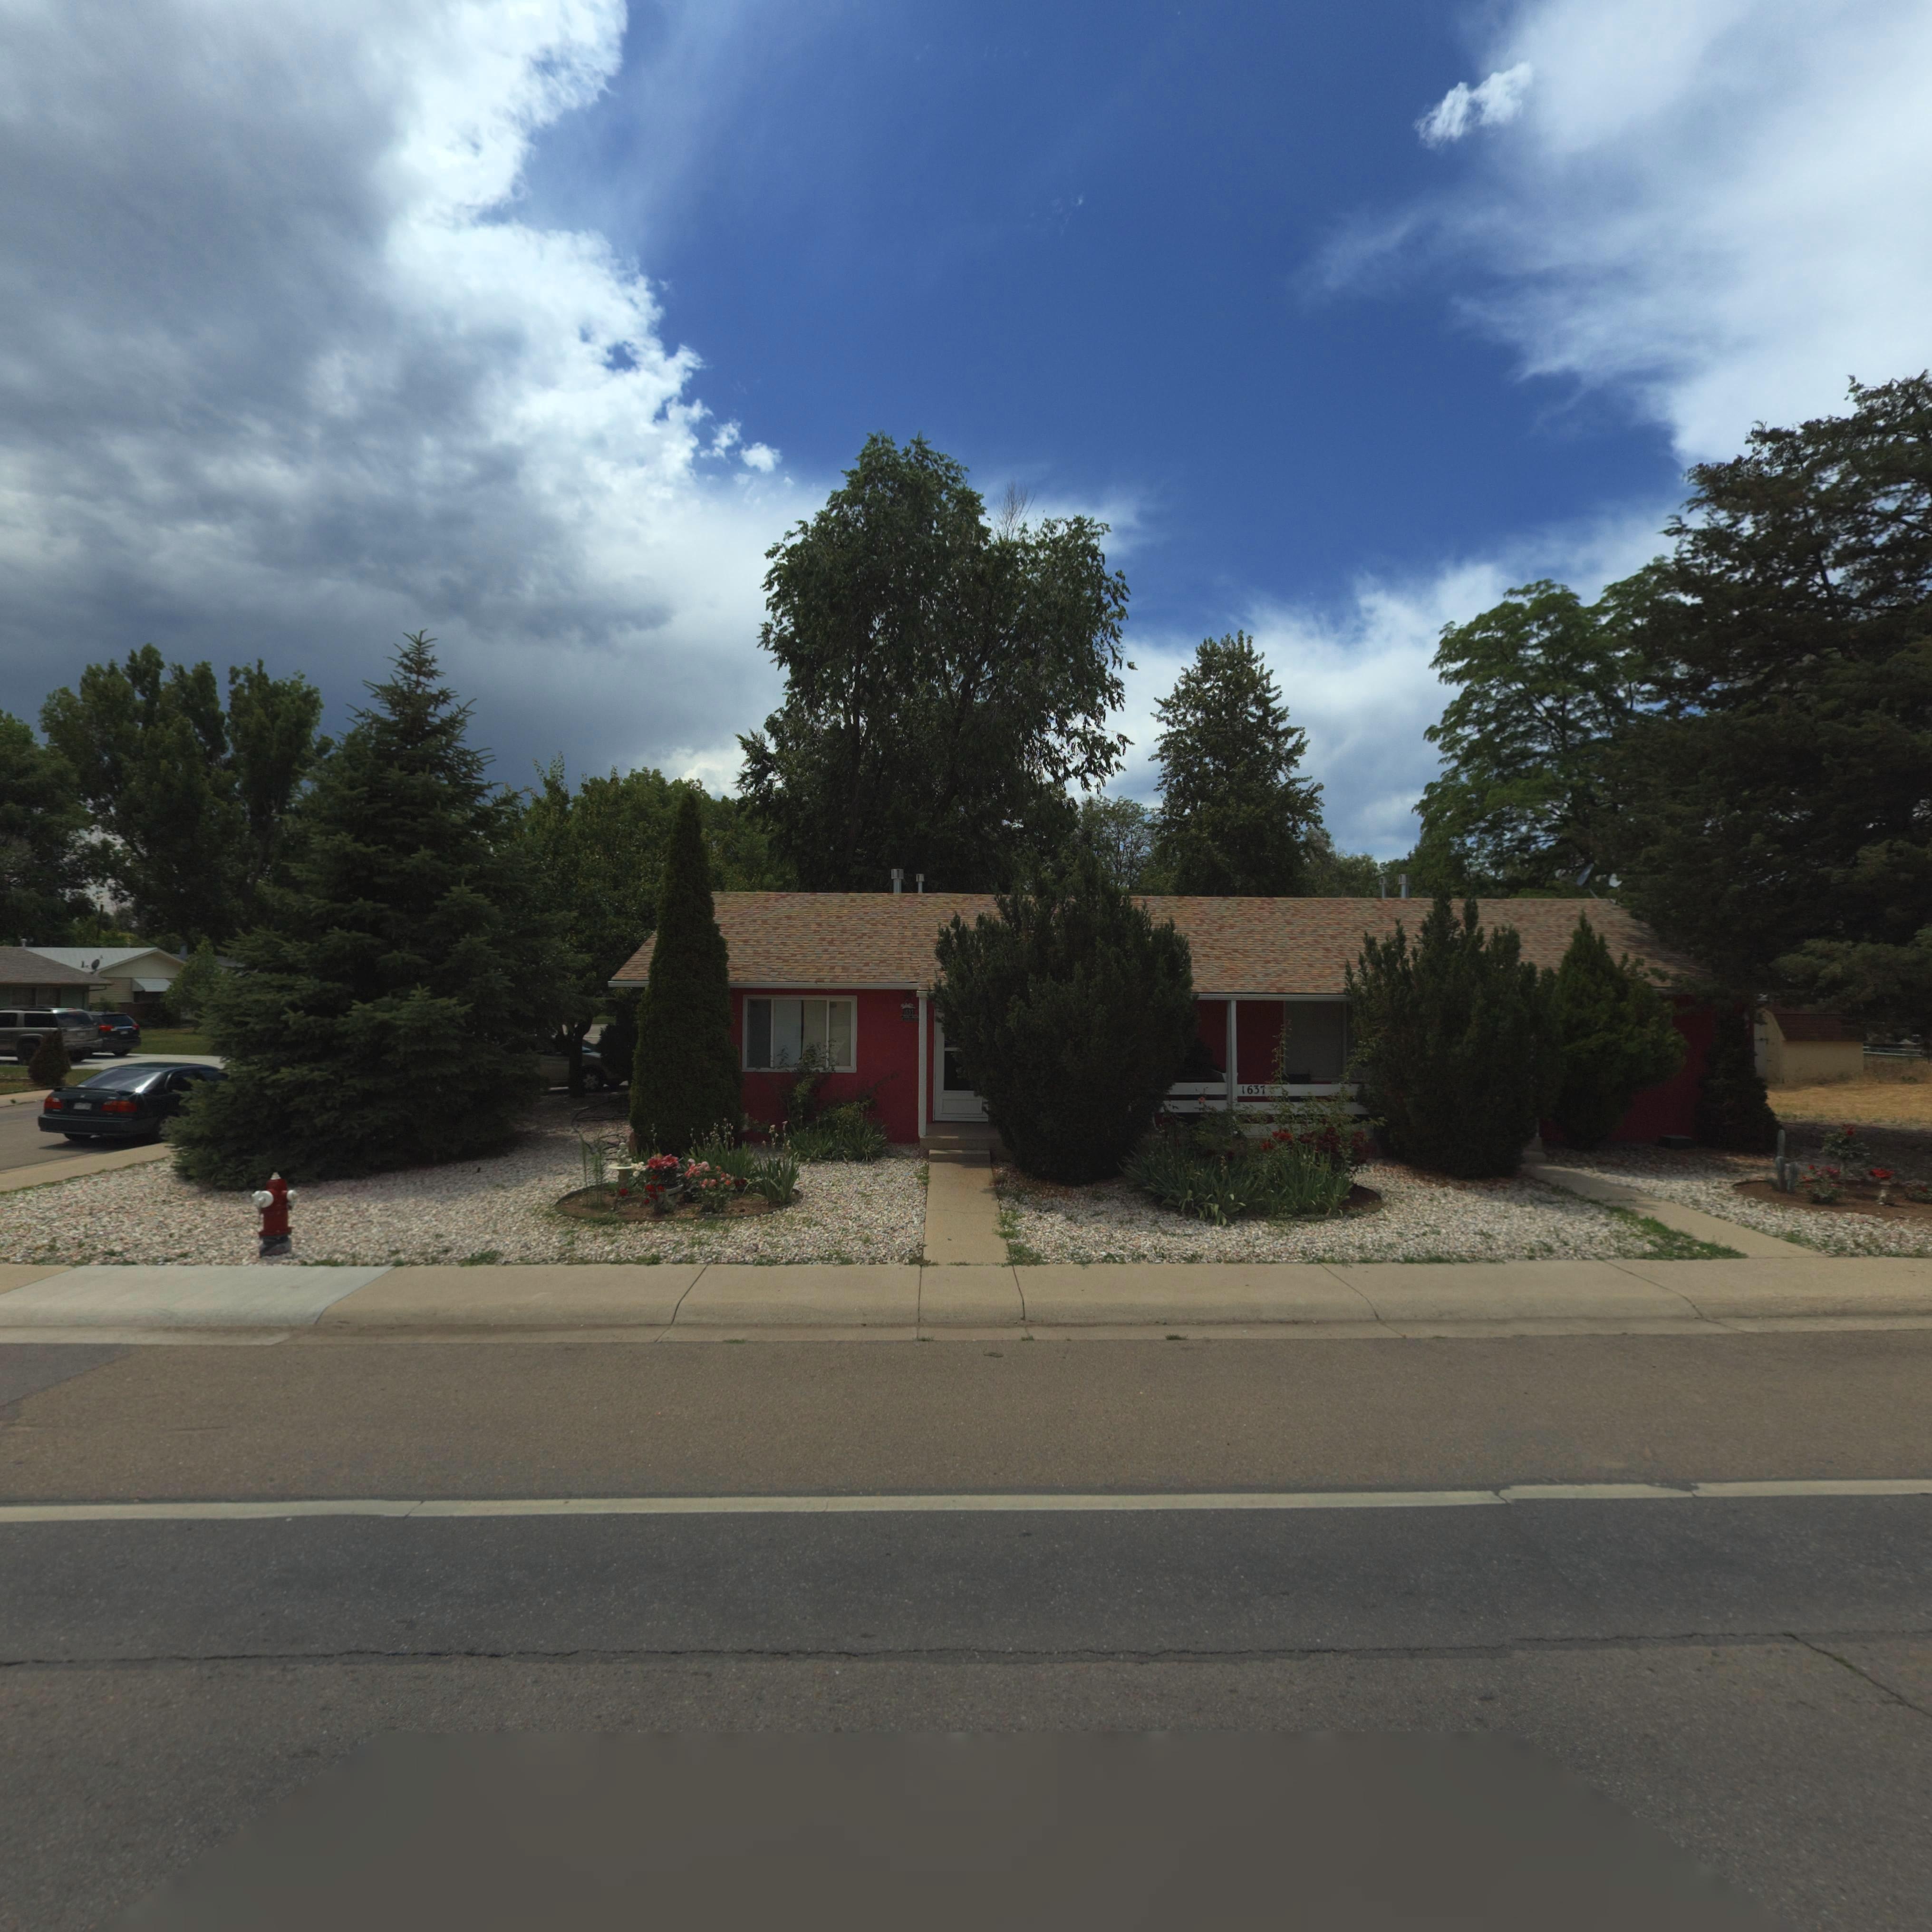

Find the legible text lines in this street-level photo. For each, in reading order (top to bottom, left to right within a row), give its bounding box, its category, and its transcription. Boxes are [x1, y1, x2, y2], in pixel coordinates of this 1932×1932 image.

[903, 1009, 914, 1014] StreetNumber: 1635
[1241, 1084, 1265, 1095] StreetNumber: 1637